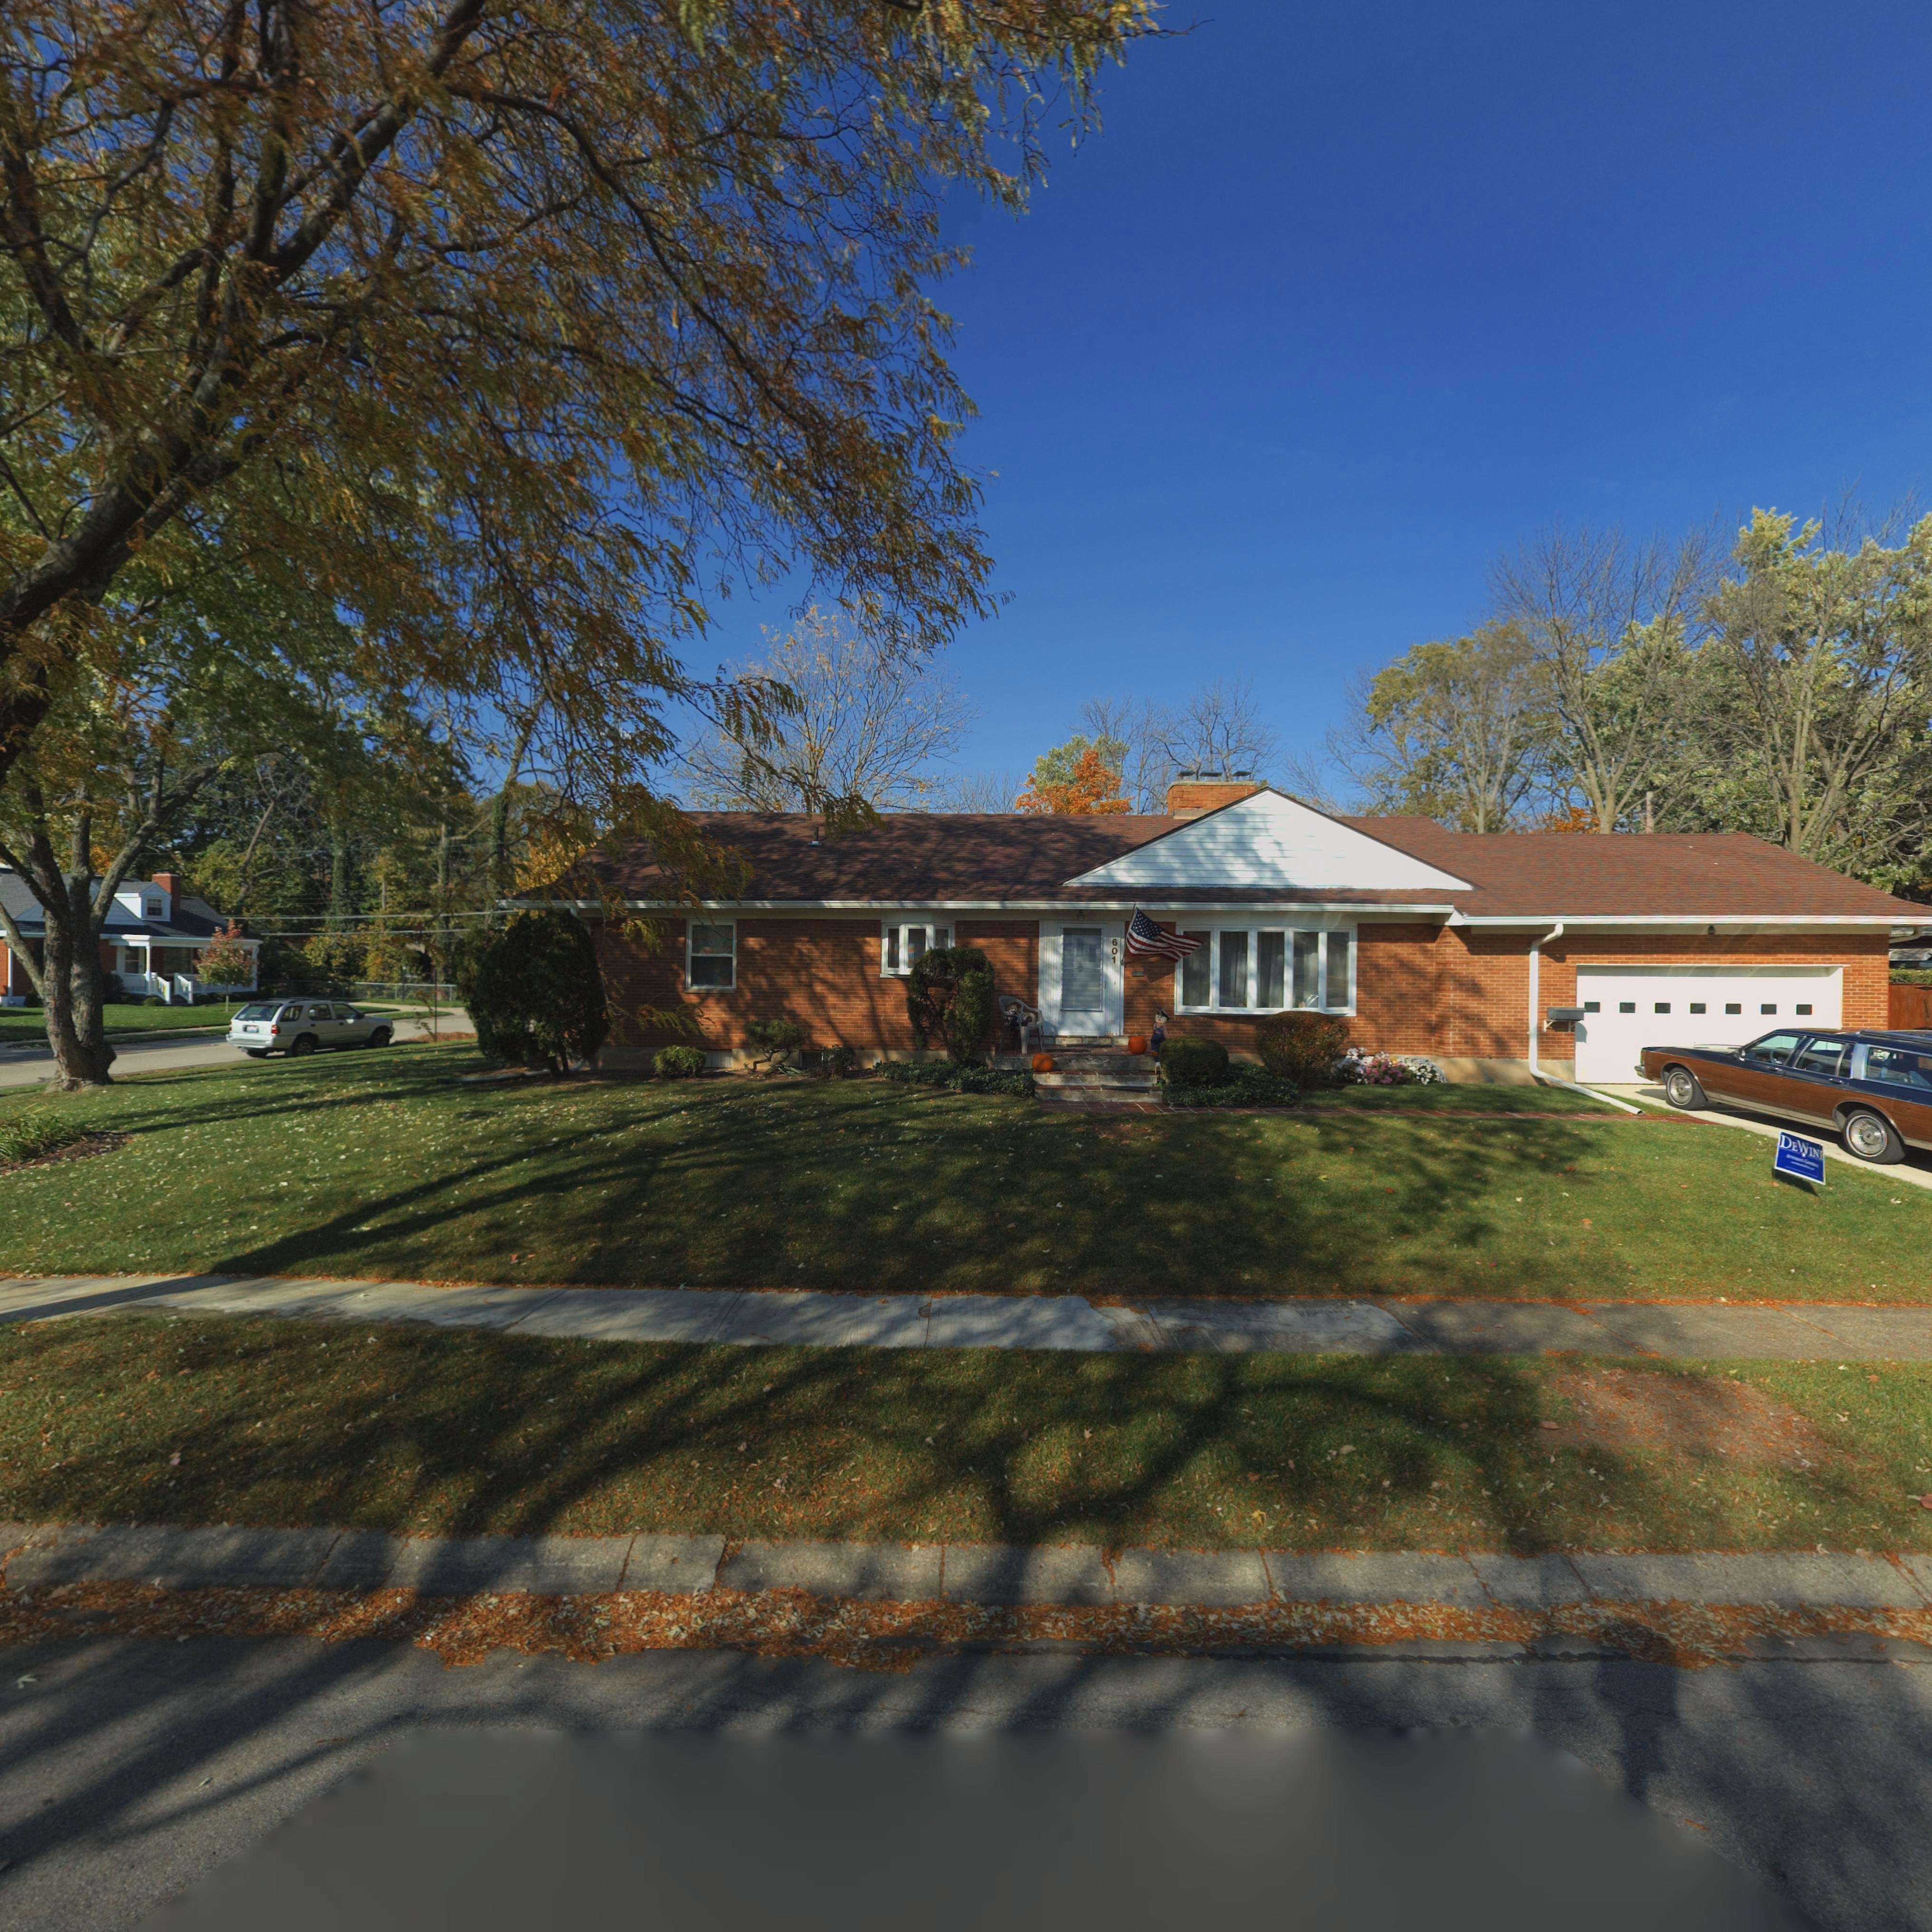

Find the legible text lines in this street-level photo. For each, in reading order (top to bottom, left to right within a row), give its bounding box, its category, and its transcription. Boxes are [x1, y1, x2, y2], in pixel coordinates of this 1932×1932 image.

[1111, 938, 1118, 964] StreetNumber: 601
[1779, 1134, 1820, 1159] None: DEWIN